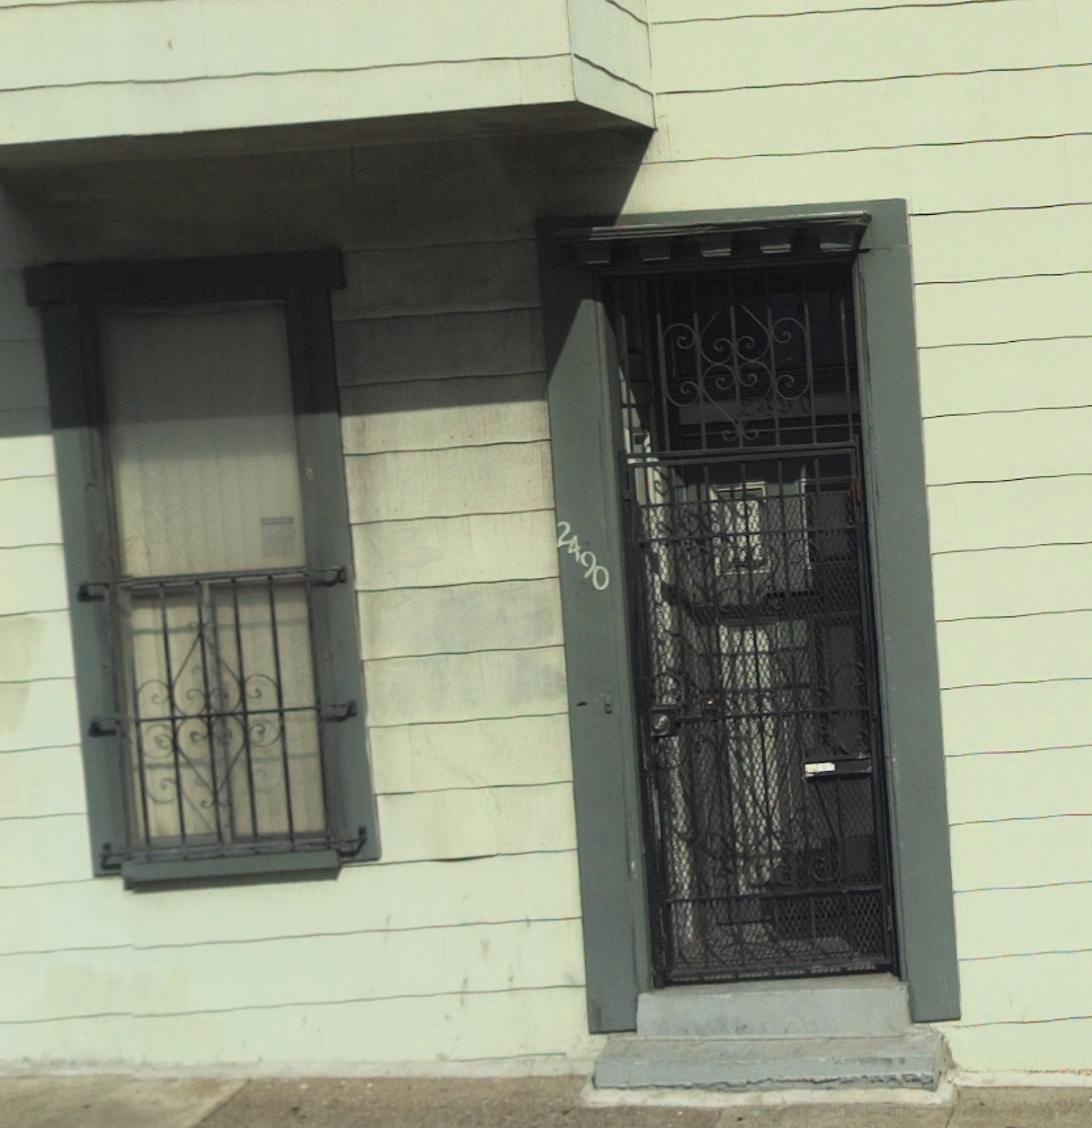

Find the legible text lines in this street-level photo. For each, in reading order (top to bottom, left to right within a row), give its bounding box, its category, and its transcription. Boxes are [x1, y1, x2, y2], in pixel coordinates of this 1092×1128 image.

[554, 517, 614, 595] StreetNumber: 2490